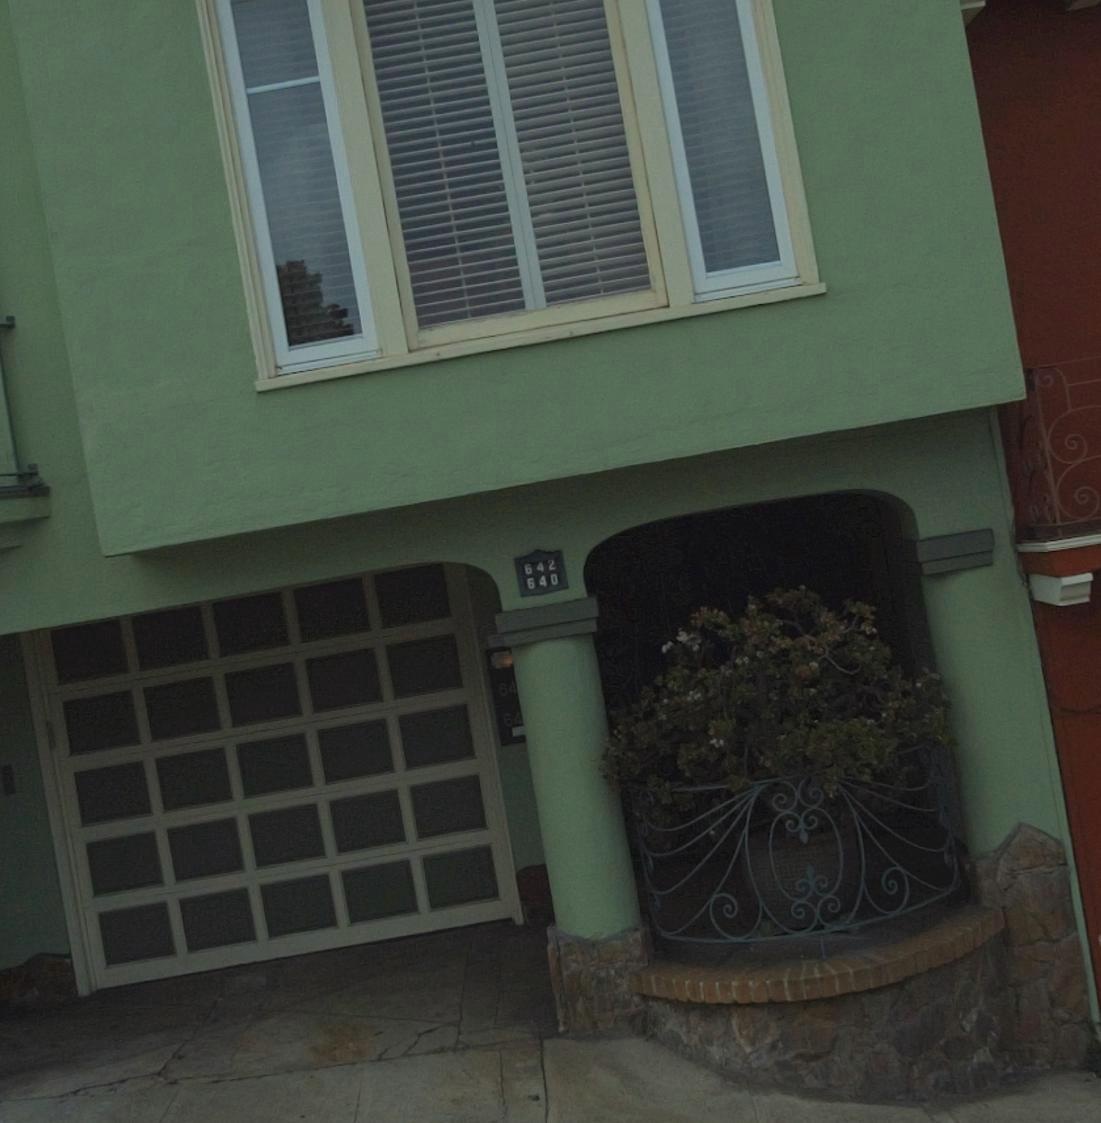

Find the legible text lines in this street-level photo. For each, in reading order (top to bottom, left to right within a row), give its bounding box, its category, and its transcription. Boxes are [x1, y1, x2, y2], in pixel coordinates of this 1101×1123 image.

[522, 556, 559, 577] StreetNumber: 642
[524, 570, 561, 593] StreetNumber: 640